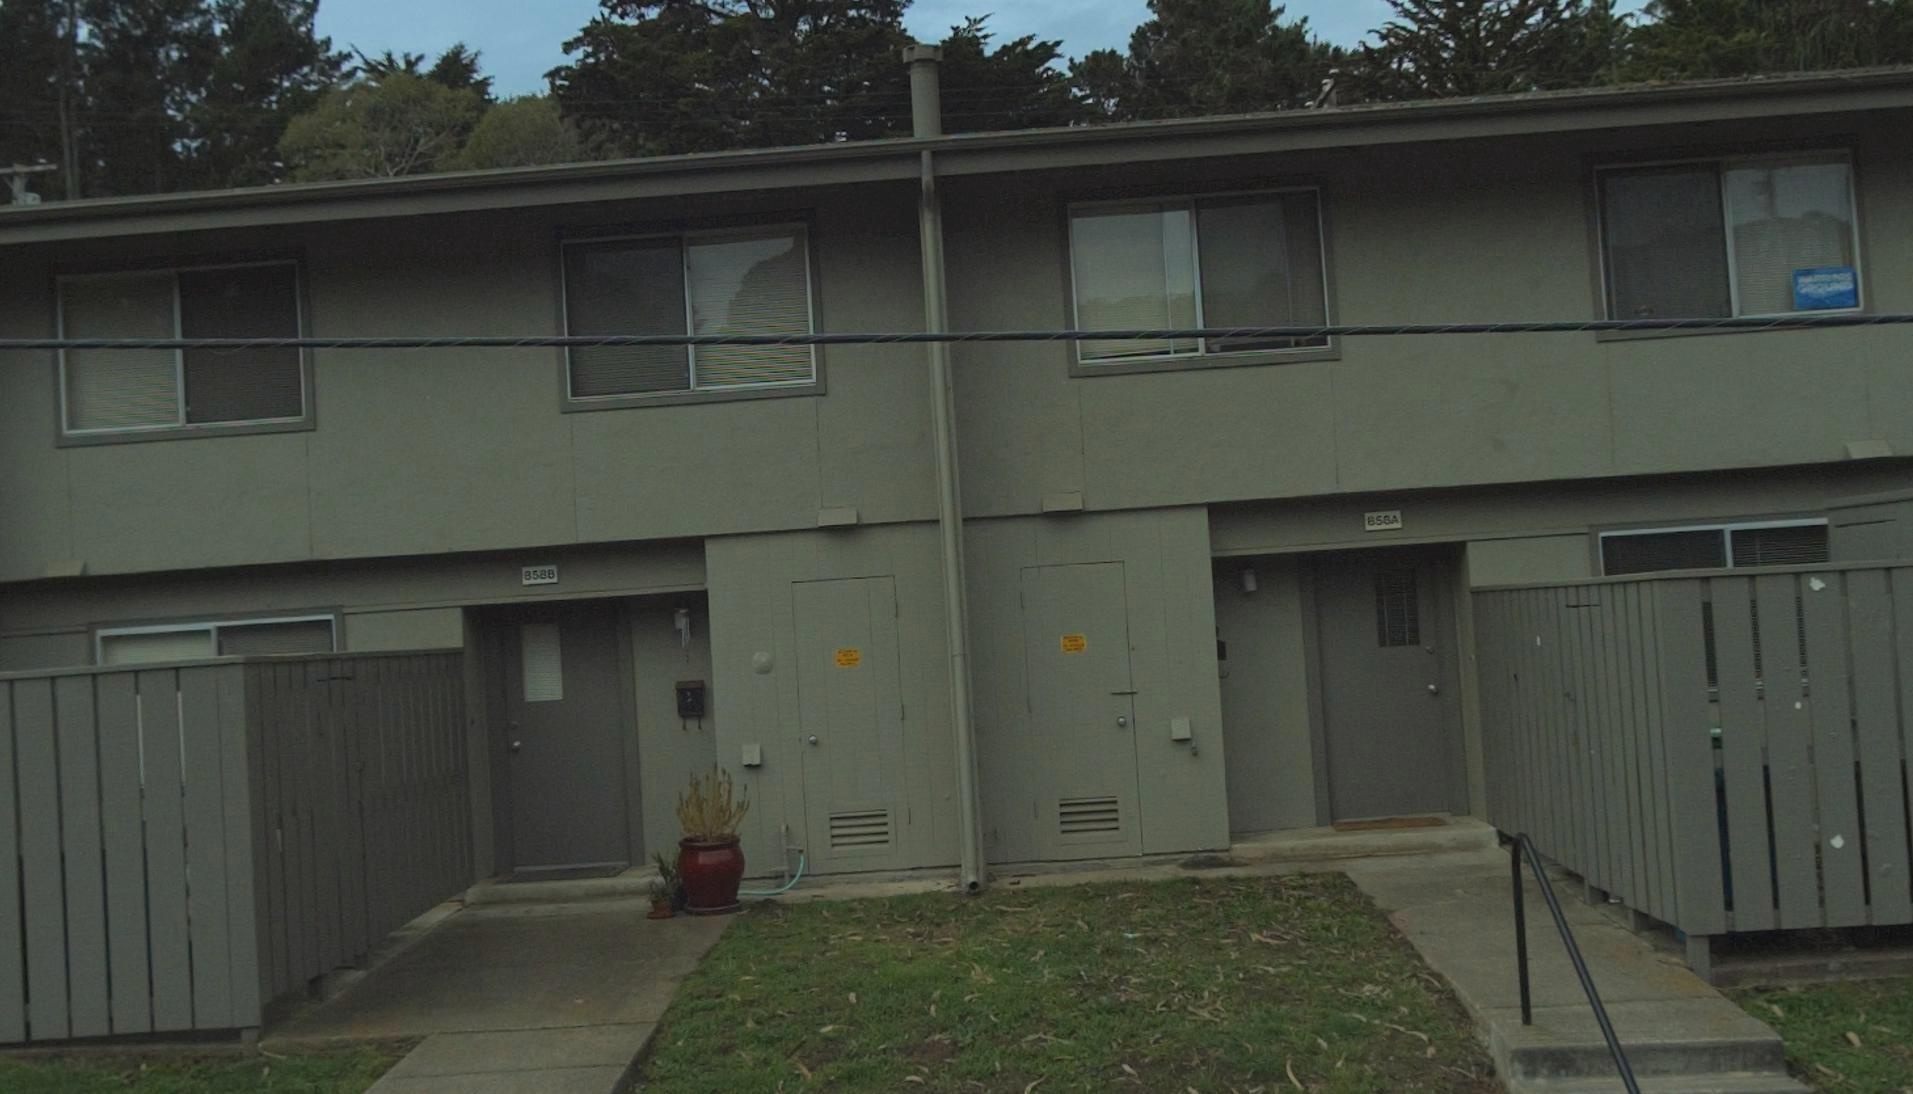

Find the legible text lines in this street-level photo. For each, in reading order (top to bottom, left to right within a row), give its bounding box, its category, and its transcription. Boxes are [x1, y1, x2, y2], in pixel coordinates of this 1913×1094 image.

[1796, 279, 1854, 295] None: GROUND
[1367, 514, 1400, 527] StreetNumber: 858A
[524, 568, 556, 581] StreetNumber: 858B